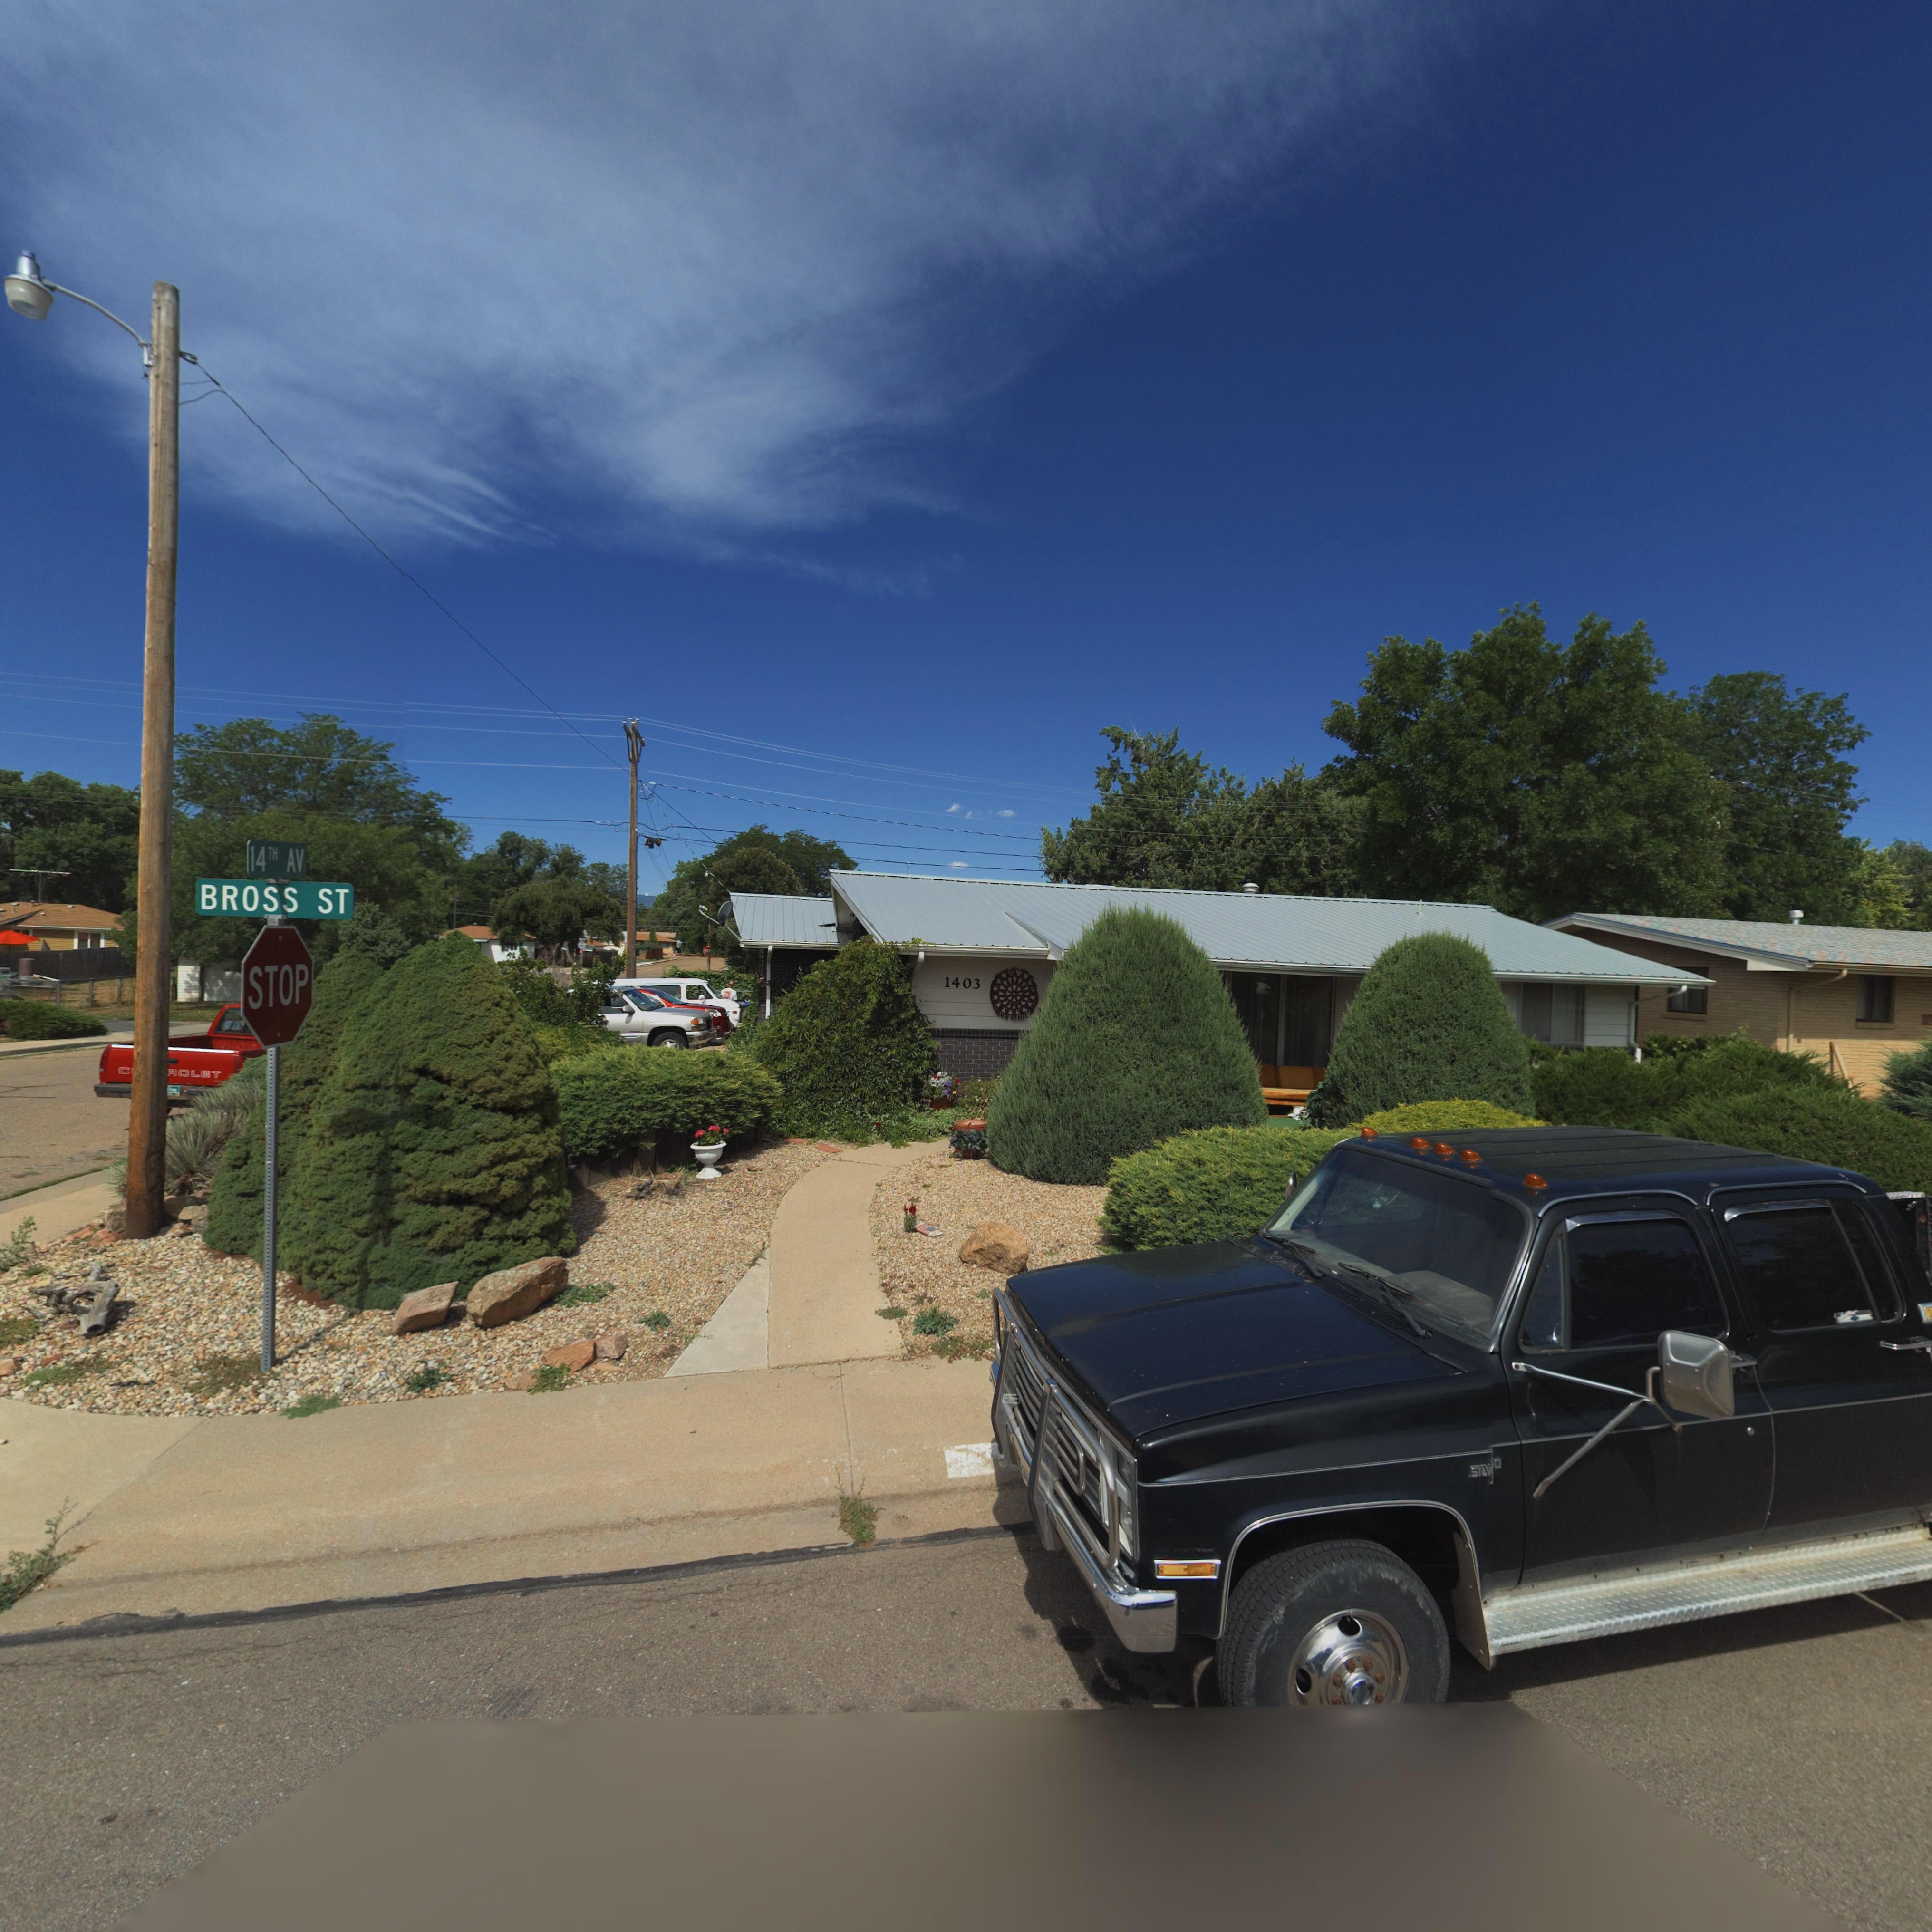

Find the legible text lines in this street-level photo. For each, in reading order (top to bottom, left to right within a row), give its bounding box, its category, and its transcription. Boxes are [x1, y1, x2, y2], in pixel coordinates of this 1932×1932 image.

[249, 844, 305, 873] StreetName: 14TH AV
[201, 883, 350, 915] StreetName: BROSS ST
[944, 976, 981, 989] StreetNumber: 1403